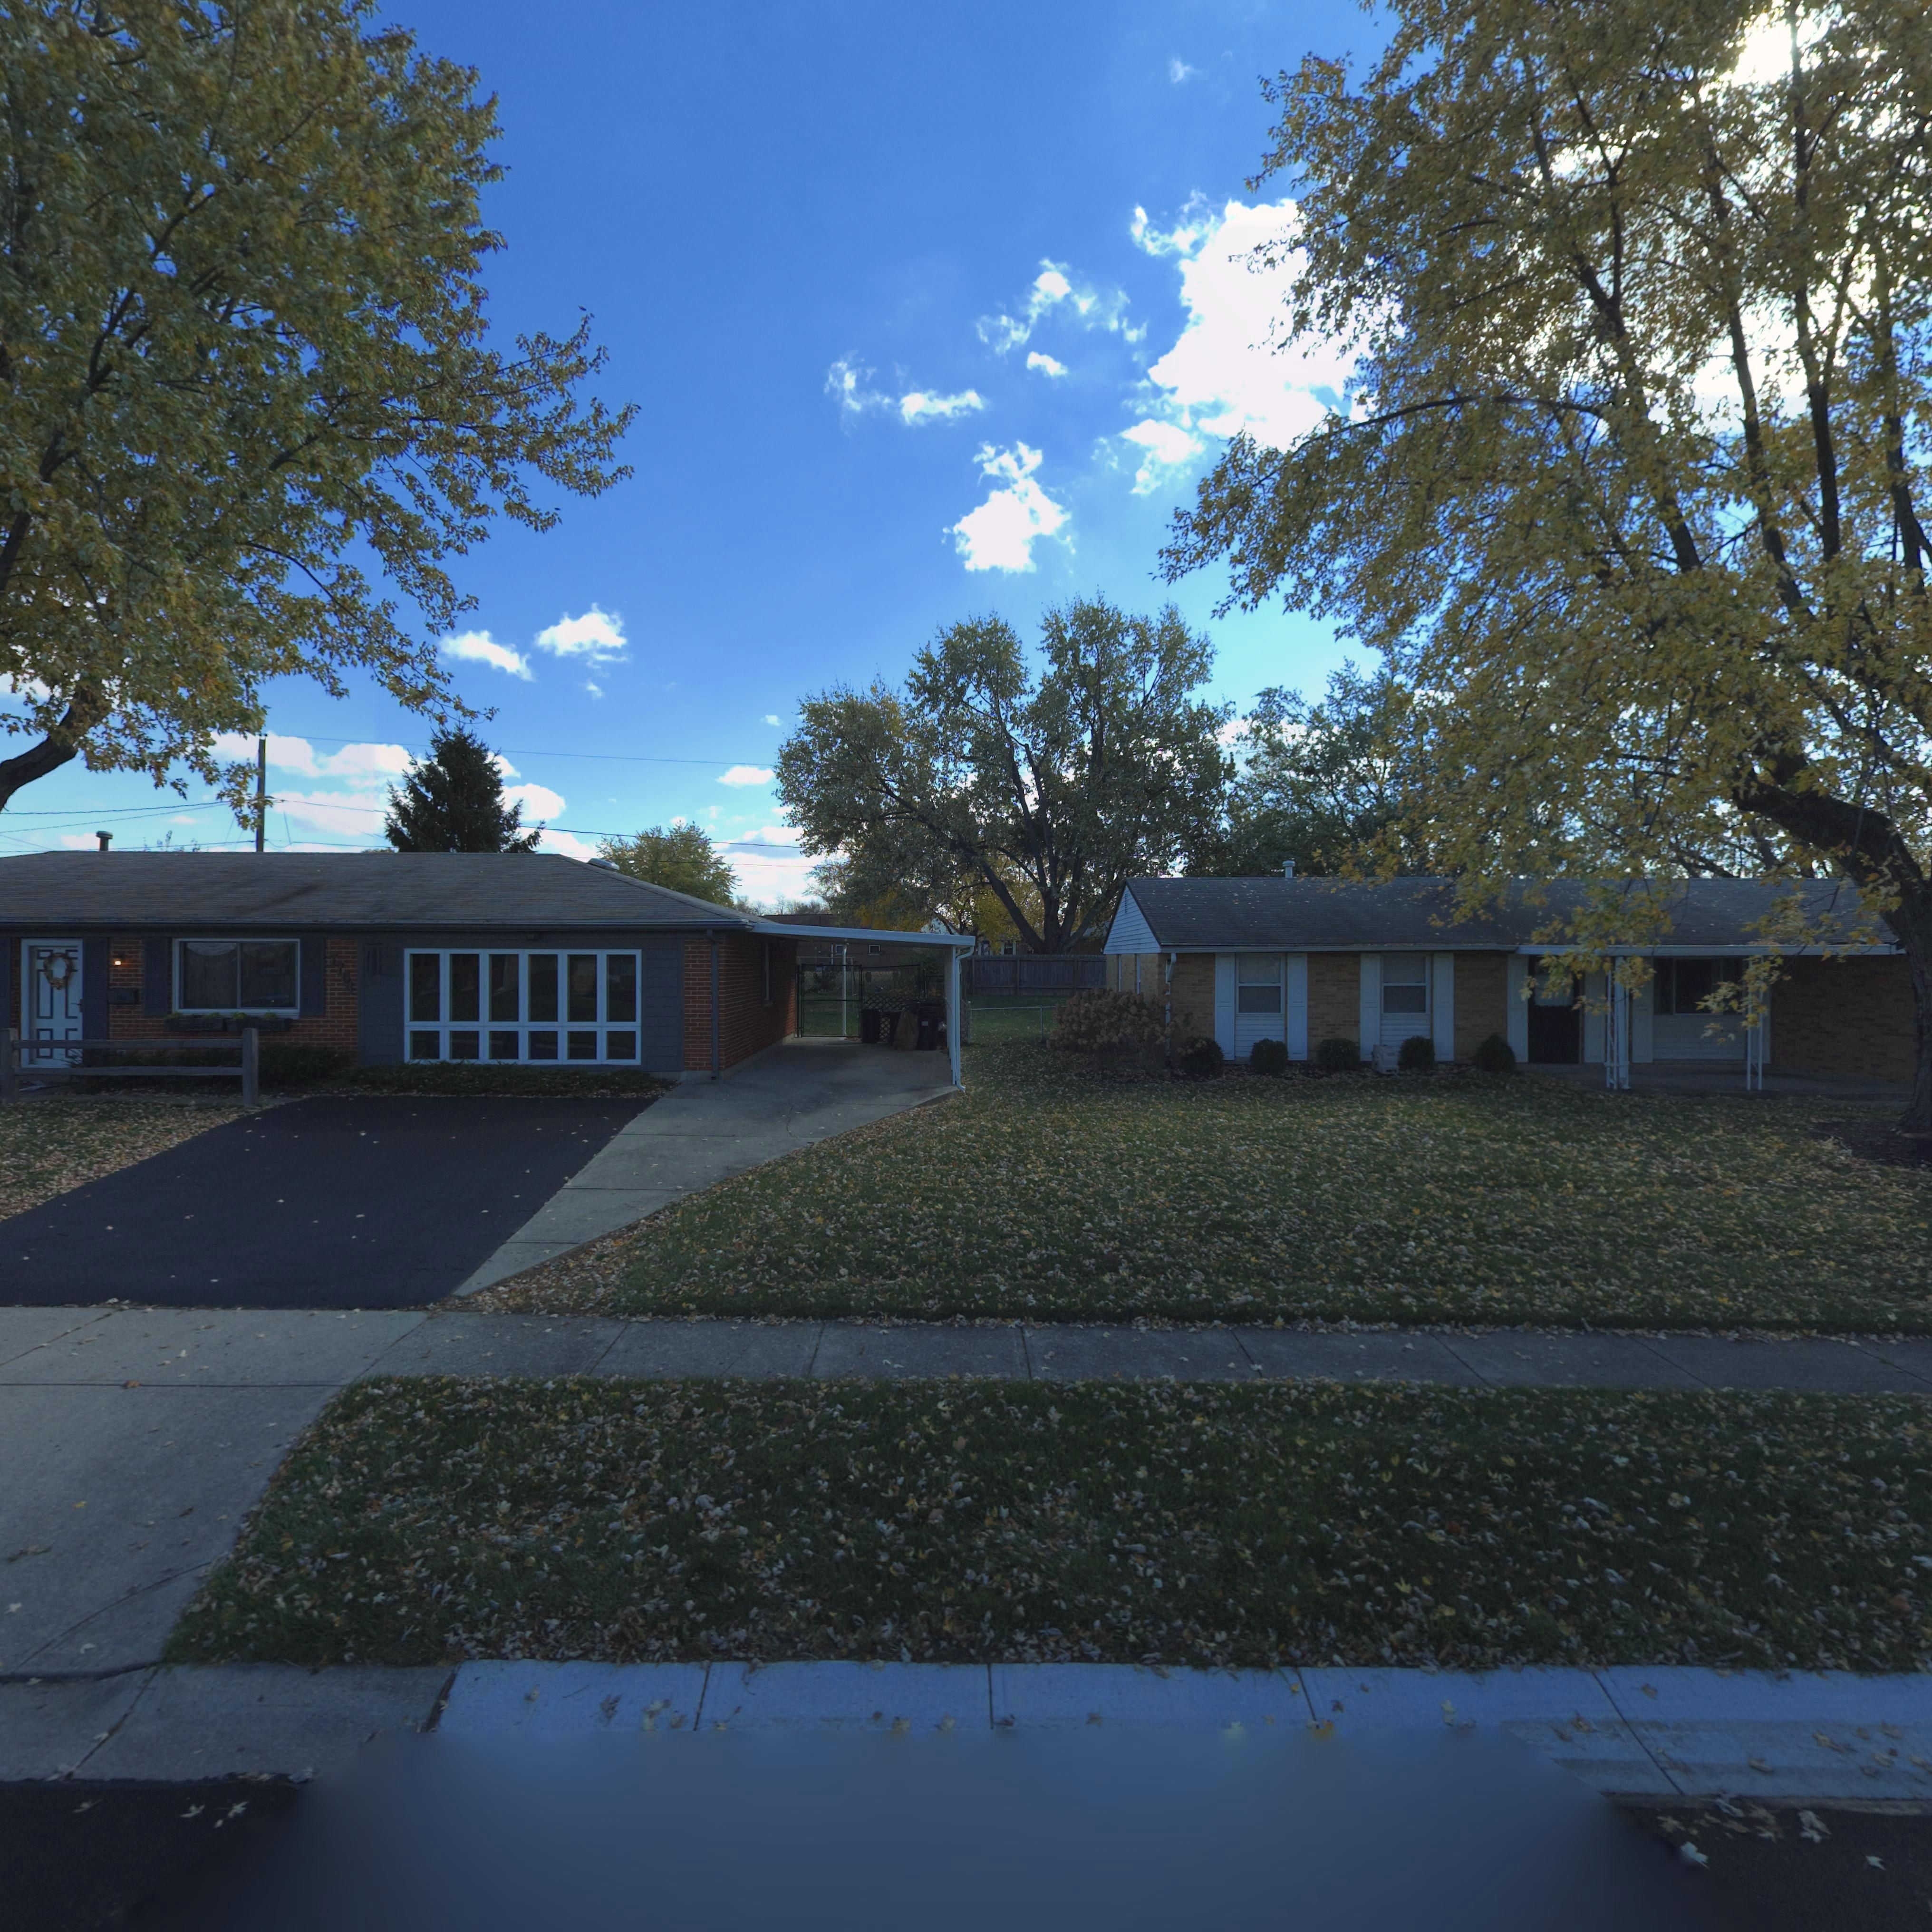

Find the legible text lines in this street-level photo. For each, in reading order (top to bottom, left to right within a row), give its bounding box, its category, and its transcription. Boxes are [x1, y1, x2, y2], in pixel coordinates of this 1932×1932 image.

[329, 951, 357, 995] StreetNumber: 7764